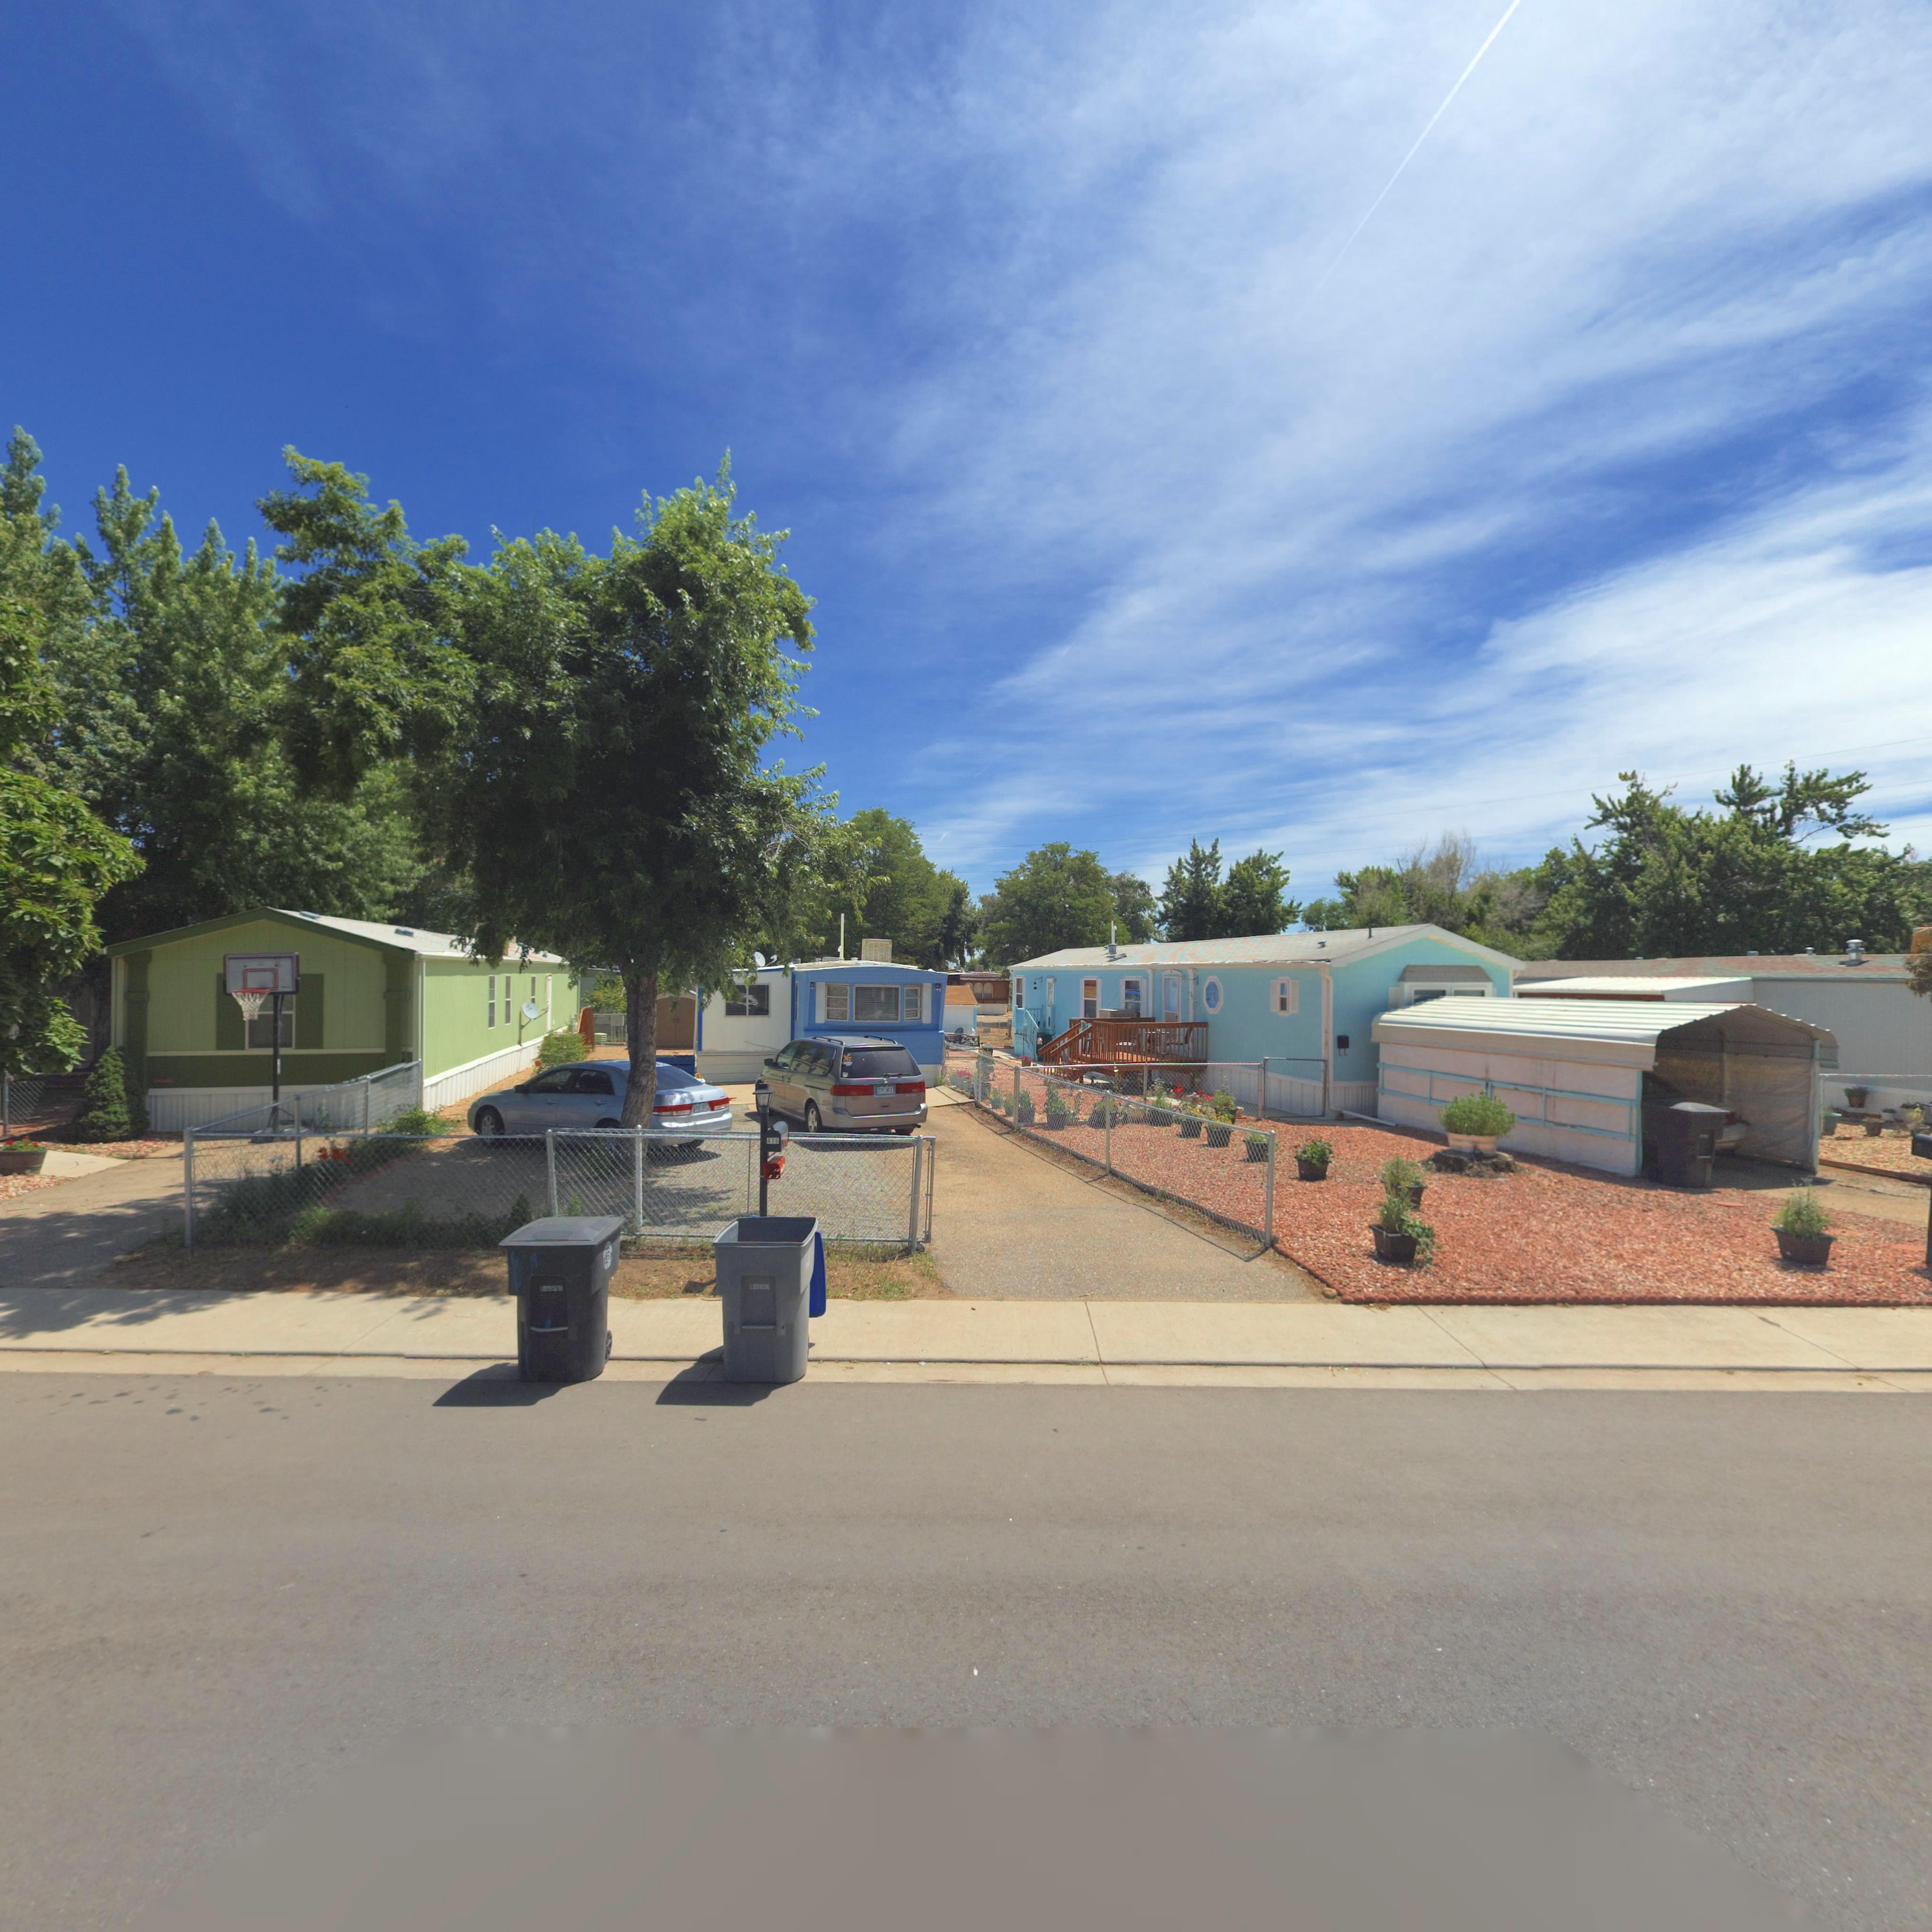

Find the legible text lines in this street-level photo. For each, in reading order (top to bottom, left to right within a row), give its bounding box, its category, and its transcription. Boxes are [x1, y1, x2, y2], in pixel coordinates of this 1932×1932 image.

[767, 1138, 778, 1143] StreetNumber: 416